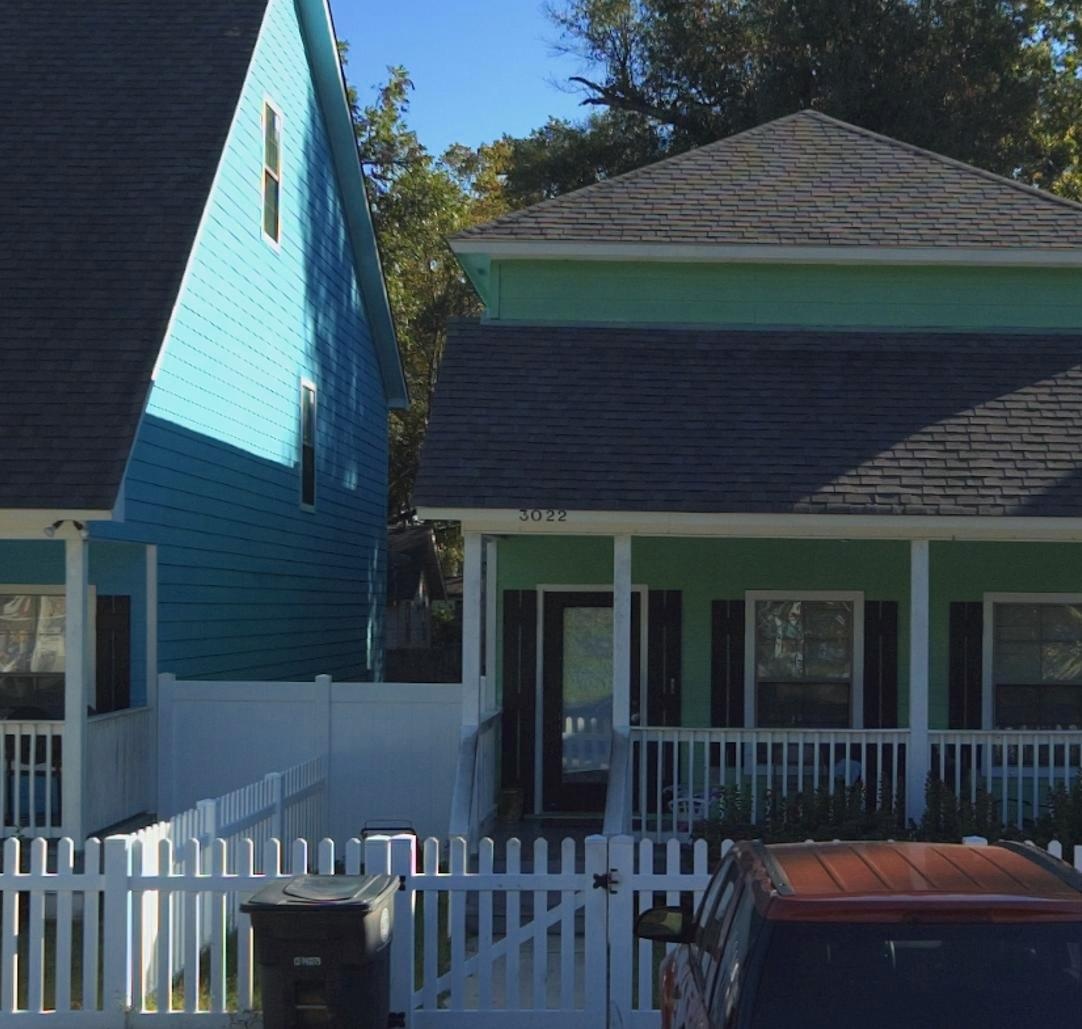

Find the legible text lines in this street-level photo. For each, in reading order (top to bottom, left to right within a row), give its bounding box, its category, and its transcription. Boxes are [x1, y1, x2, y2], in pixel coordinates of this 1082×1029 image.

[517, 508, 568, 523] StreetNumber: 3022